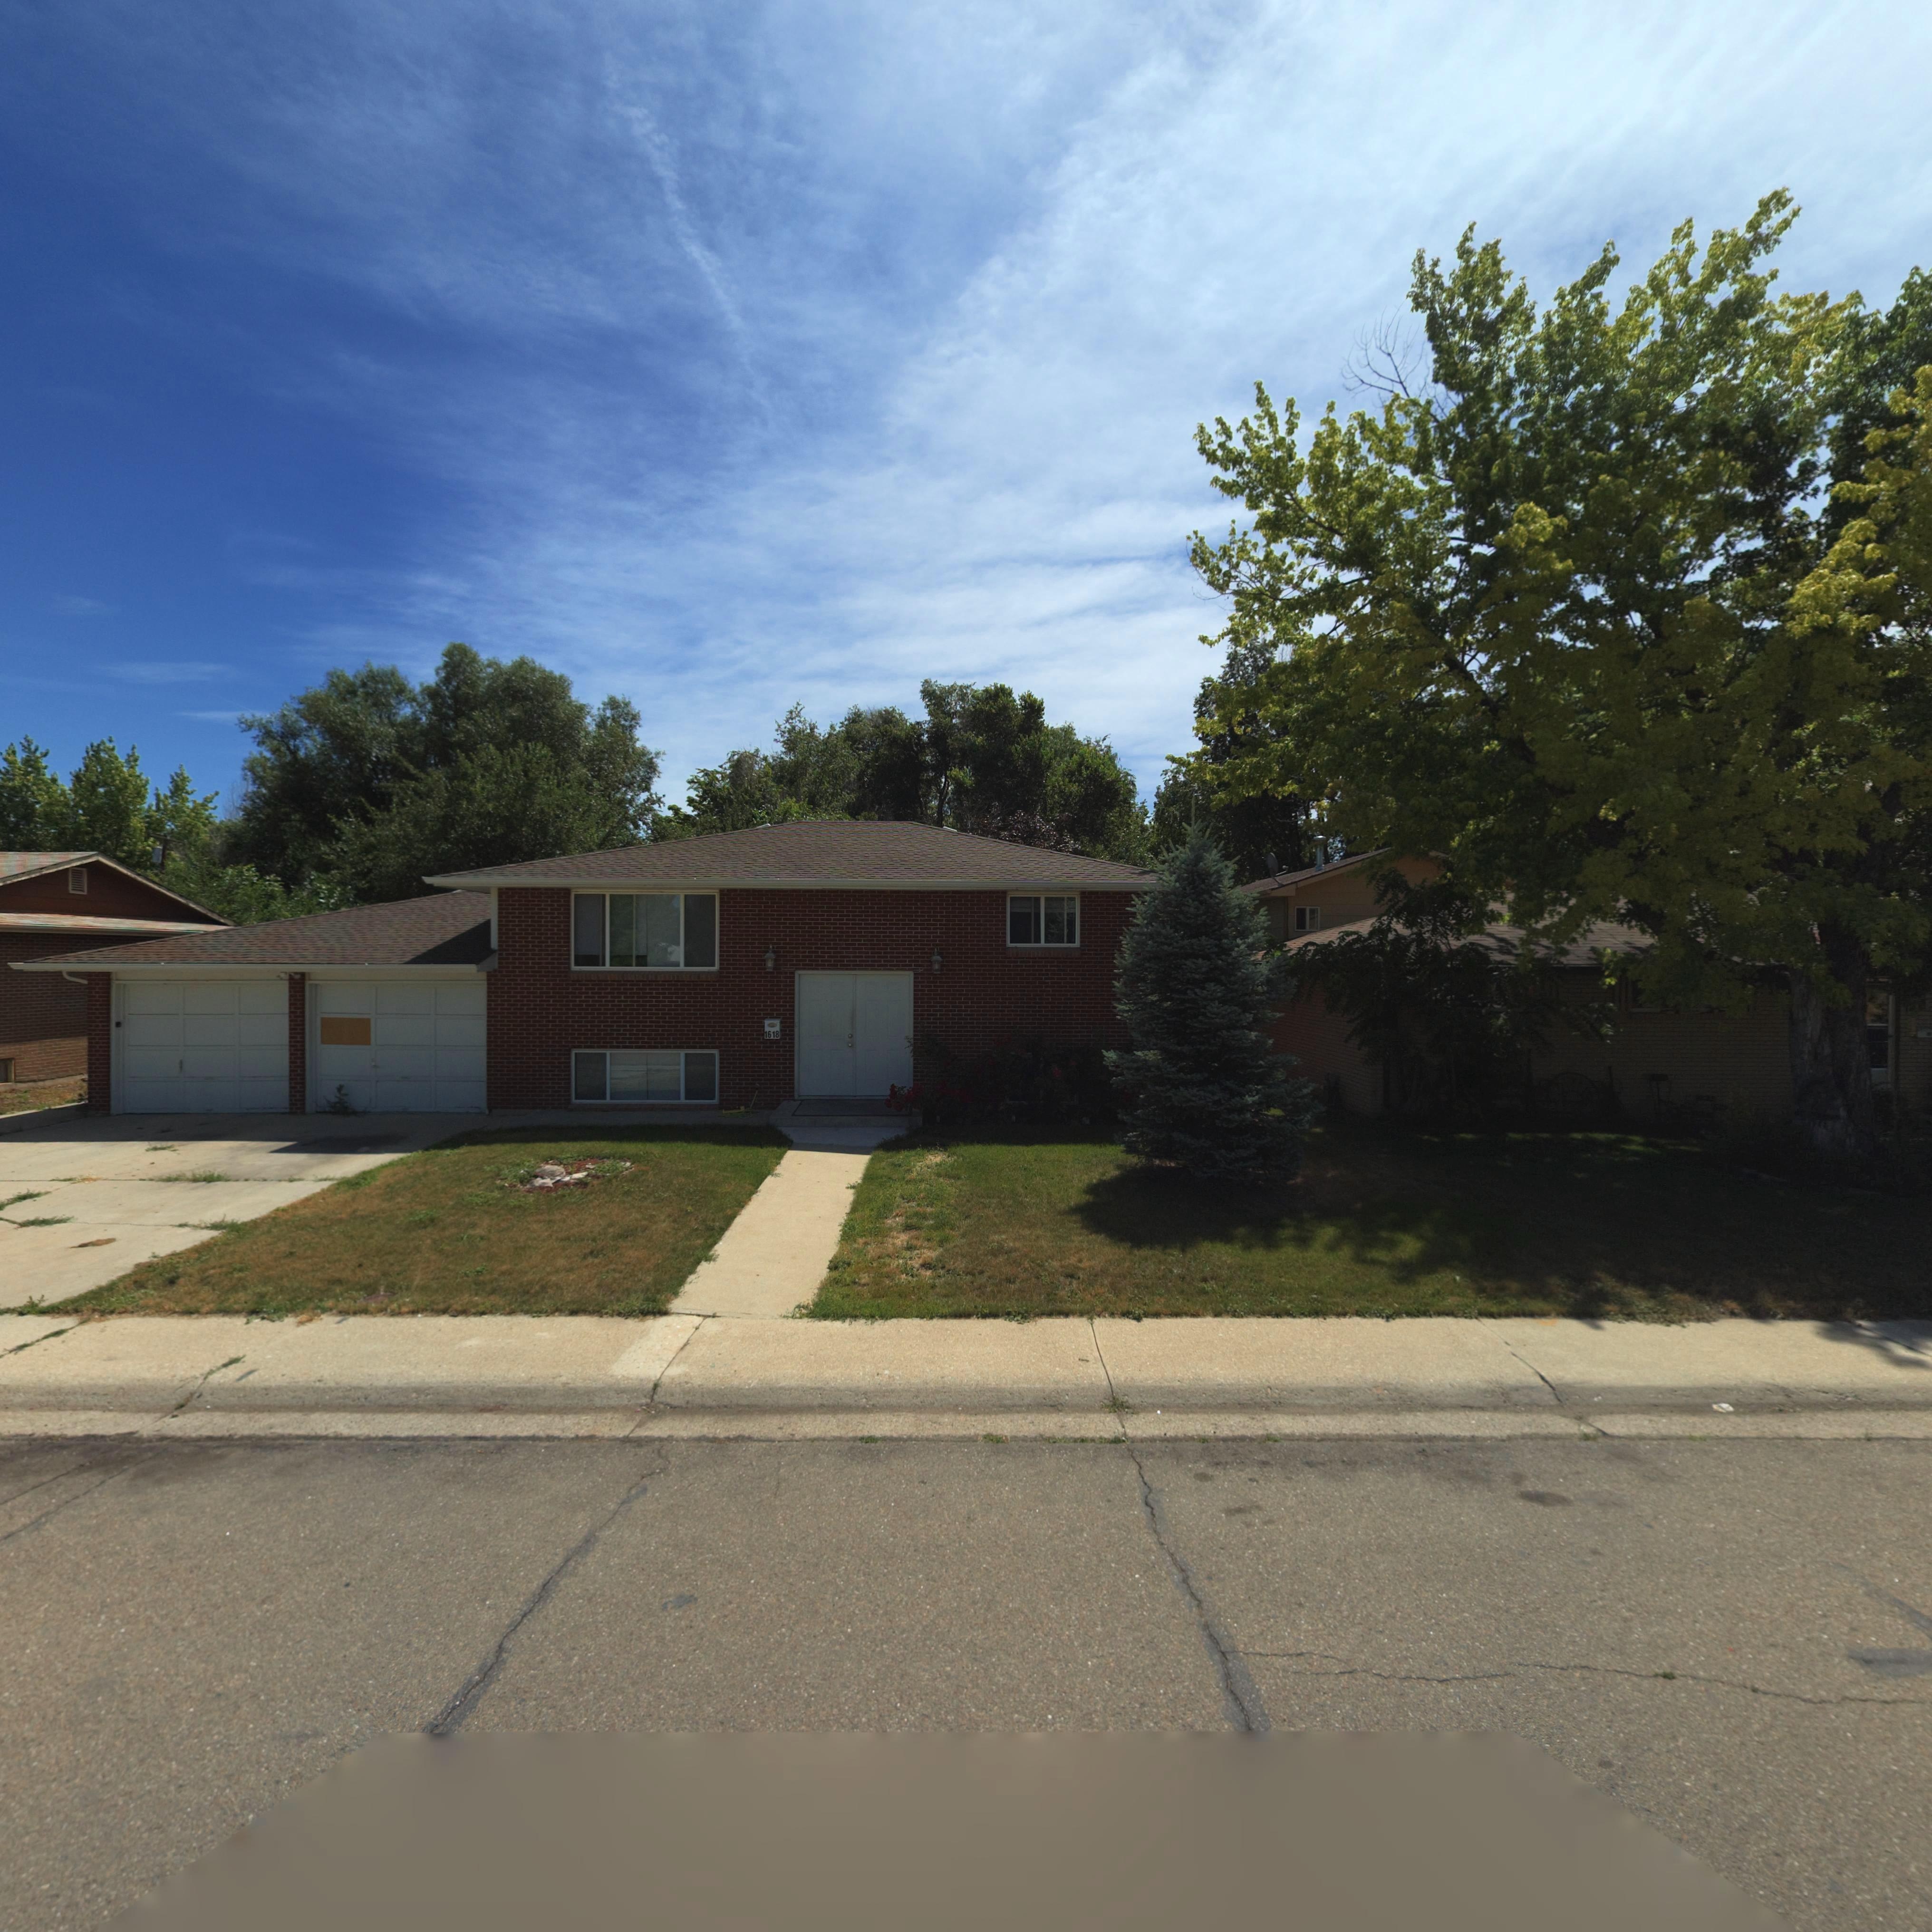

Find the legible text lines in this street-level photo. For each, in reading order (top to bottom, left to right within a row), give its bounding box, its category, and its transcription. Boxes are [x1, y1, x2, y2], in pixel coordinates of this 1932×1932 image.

[764, 1030, 779, 1038] StreetNumber: 1618